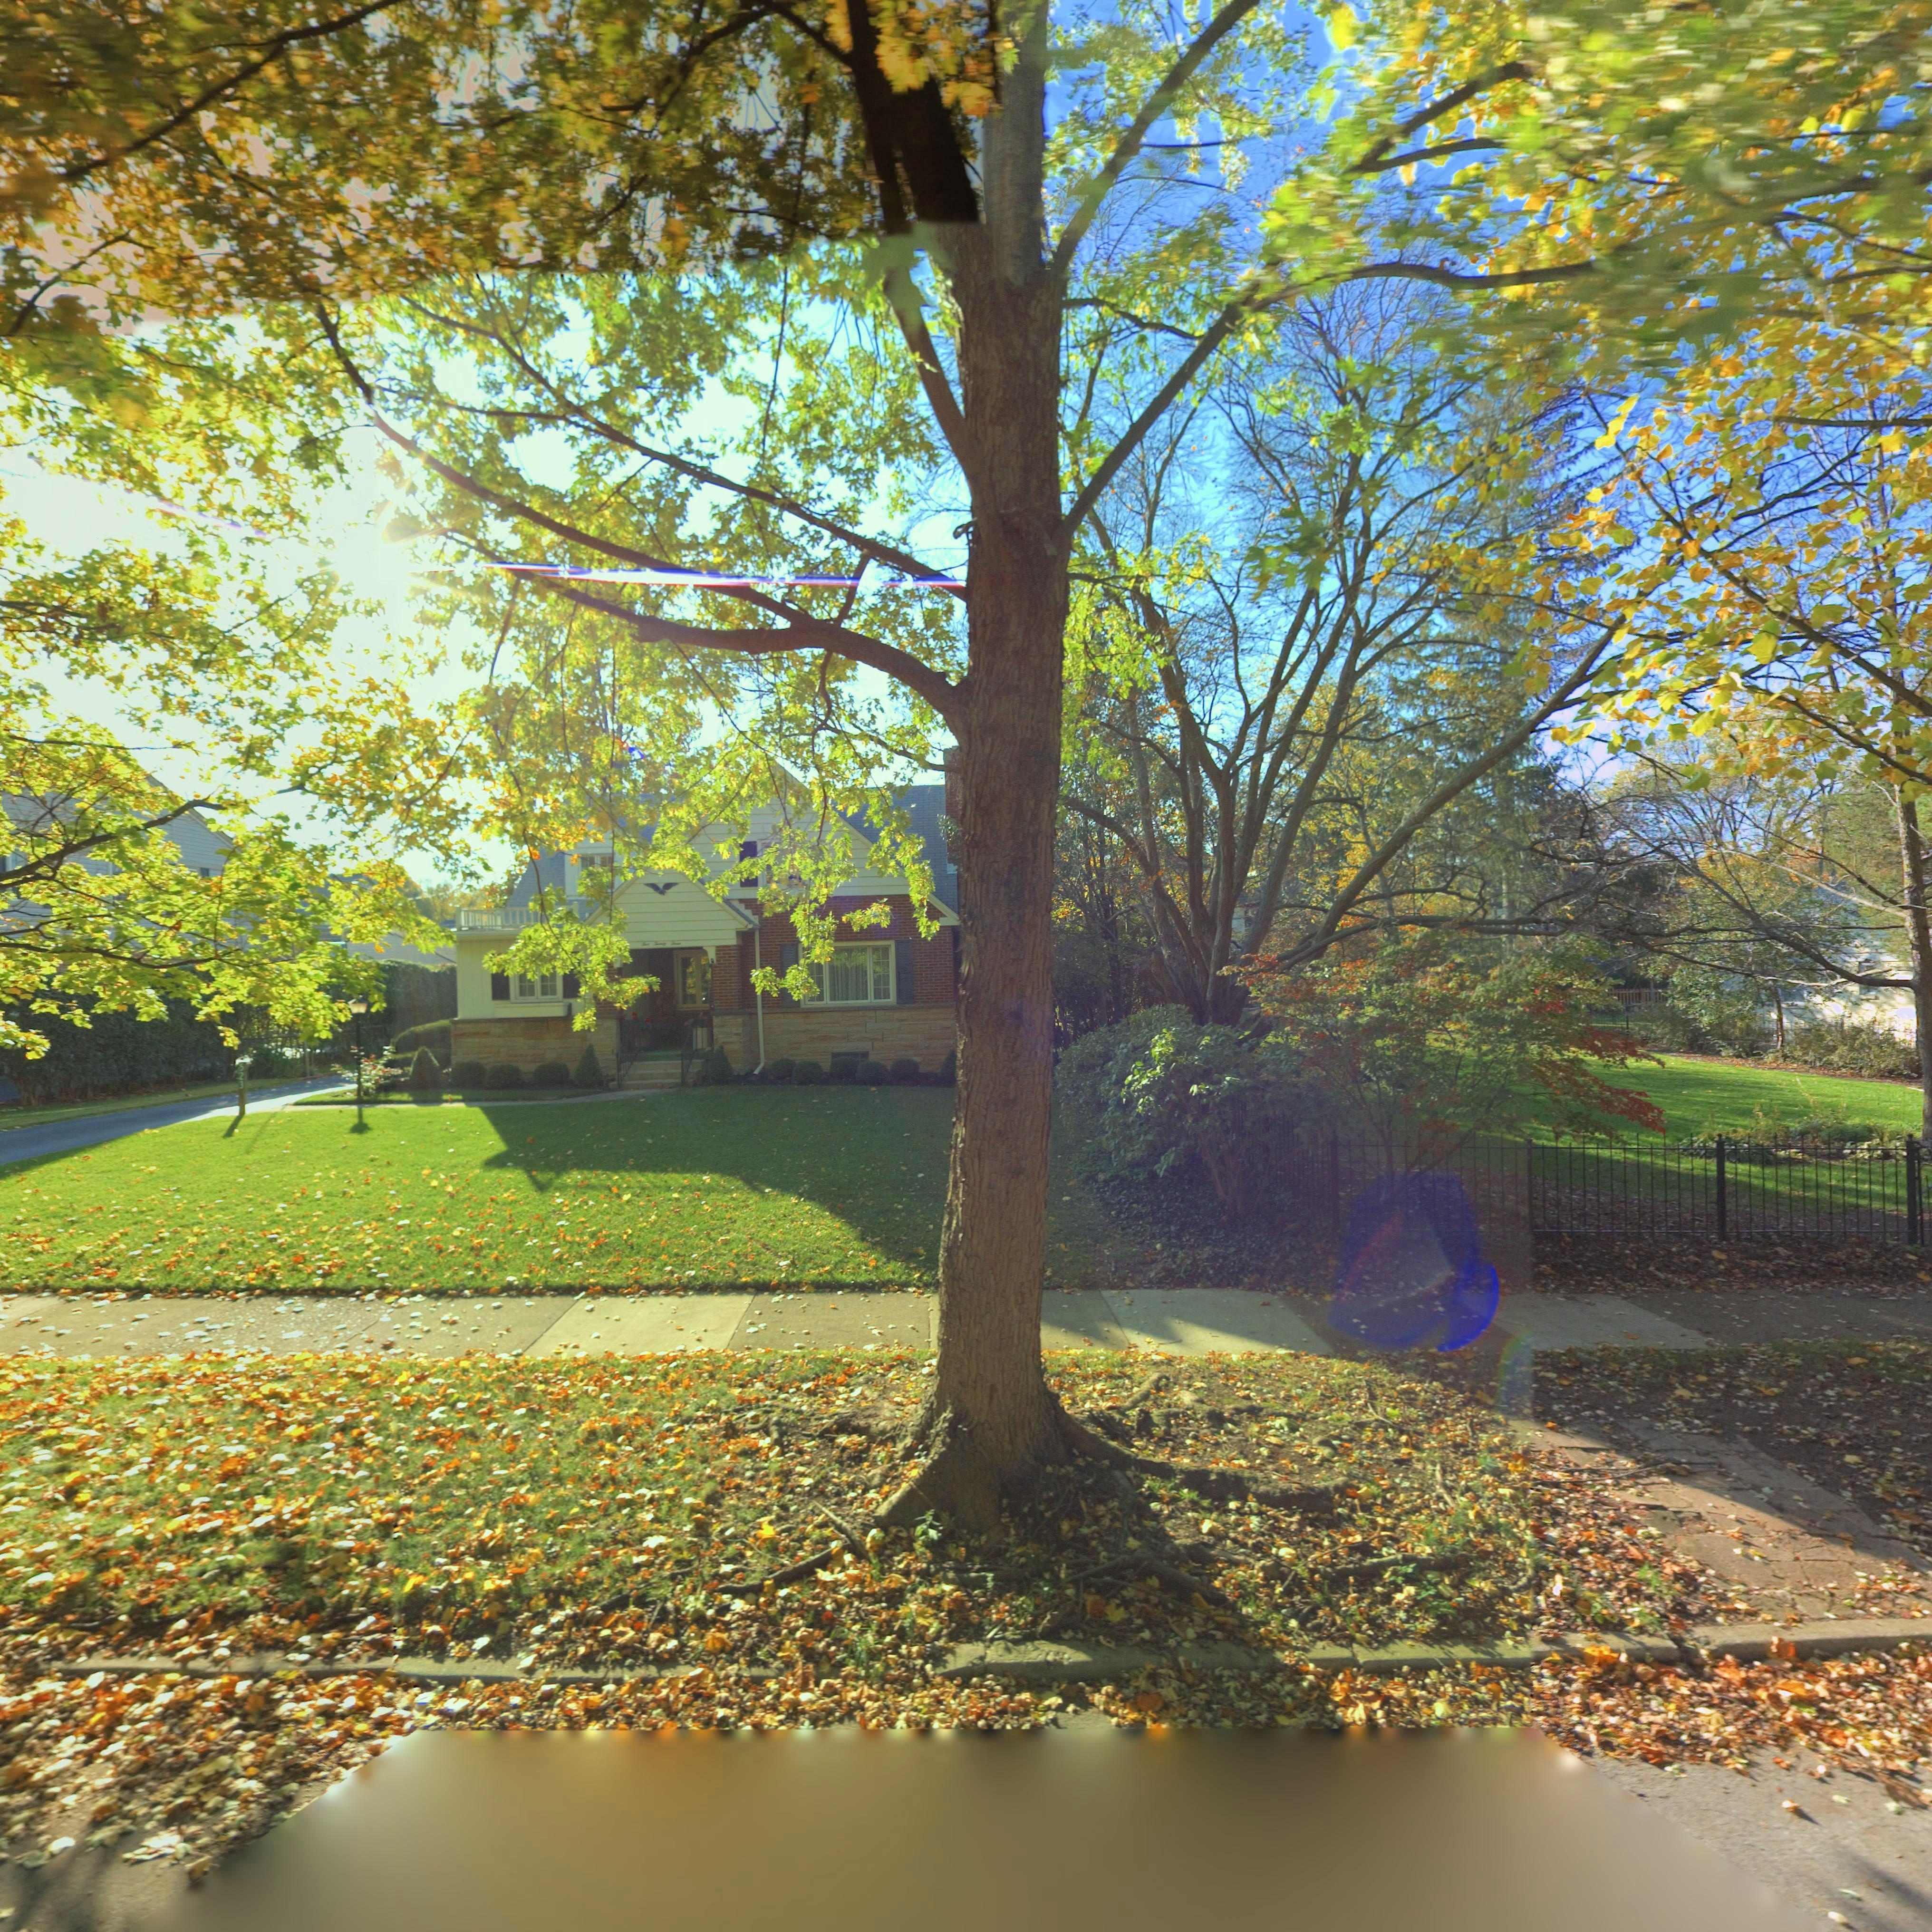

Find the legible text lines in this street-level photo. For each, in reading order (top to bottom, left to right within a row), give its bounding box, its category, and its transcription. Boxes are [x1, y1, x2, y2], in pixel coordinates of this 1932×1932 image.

[239, 1063, 245, 1089] StreetNumber: 523